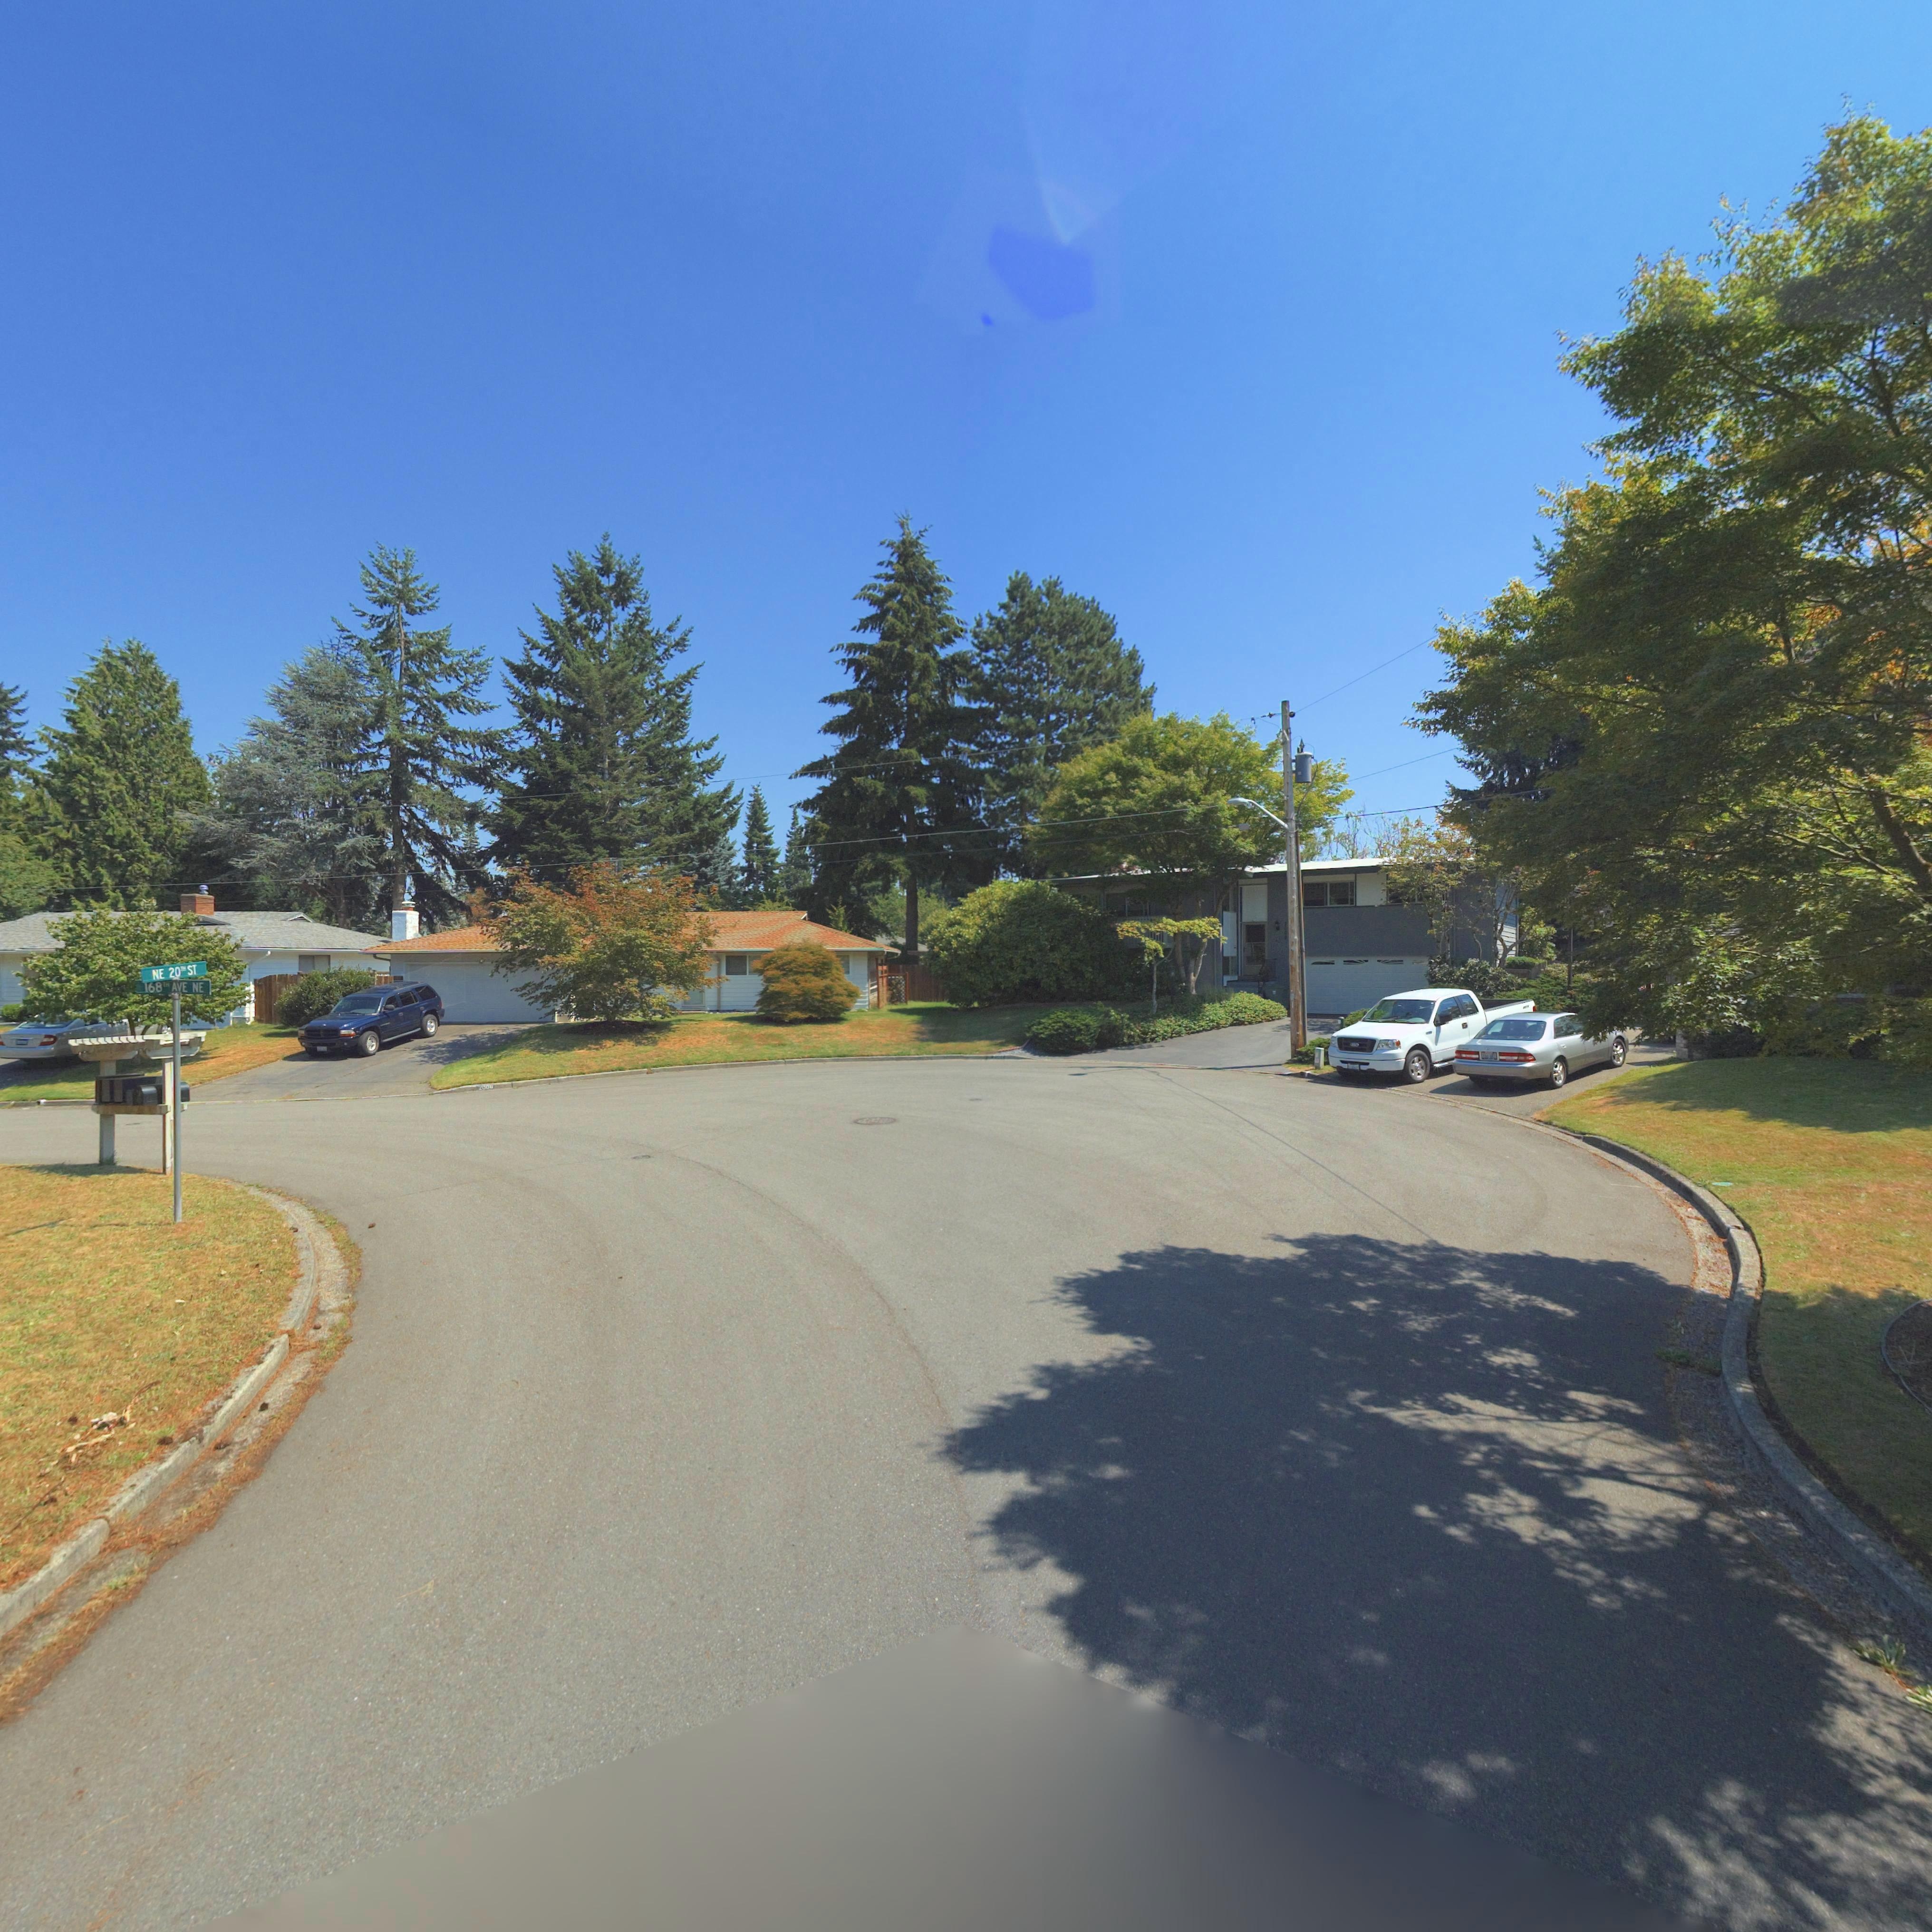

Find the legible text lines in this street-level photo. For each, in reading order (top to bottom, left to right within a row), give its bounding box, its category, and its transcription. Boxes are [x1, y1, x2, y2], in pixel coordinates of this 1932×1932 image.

[152, 963, 197, 980] StreetName: NE 20** ST
[143, 982, 203, 993] StreetName: 168TH AVE NE